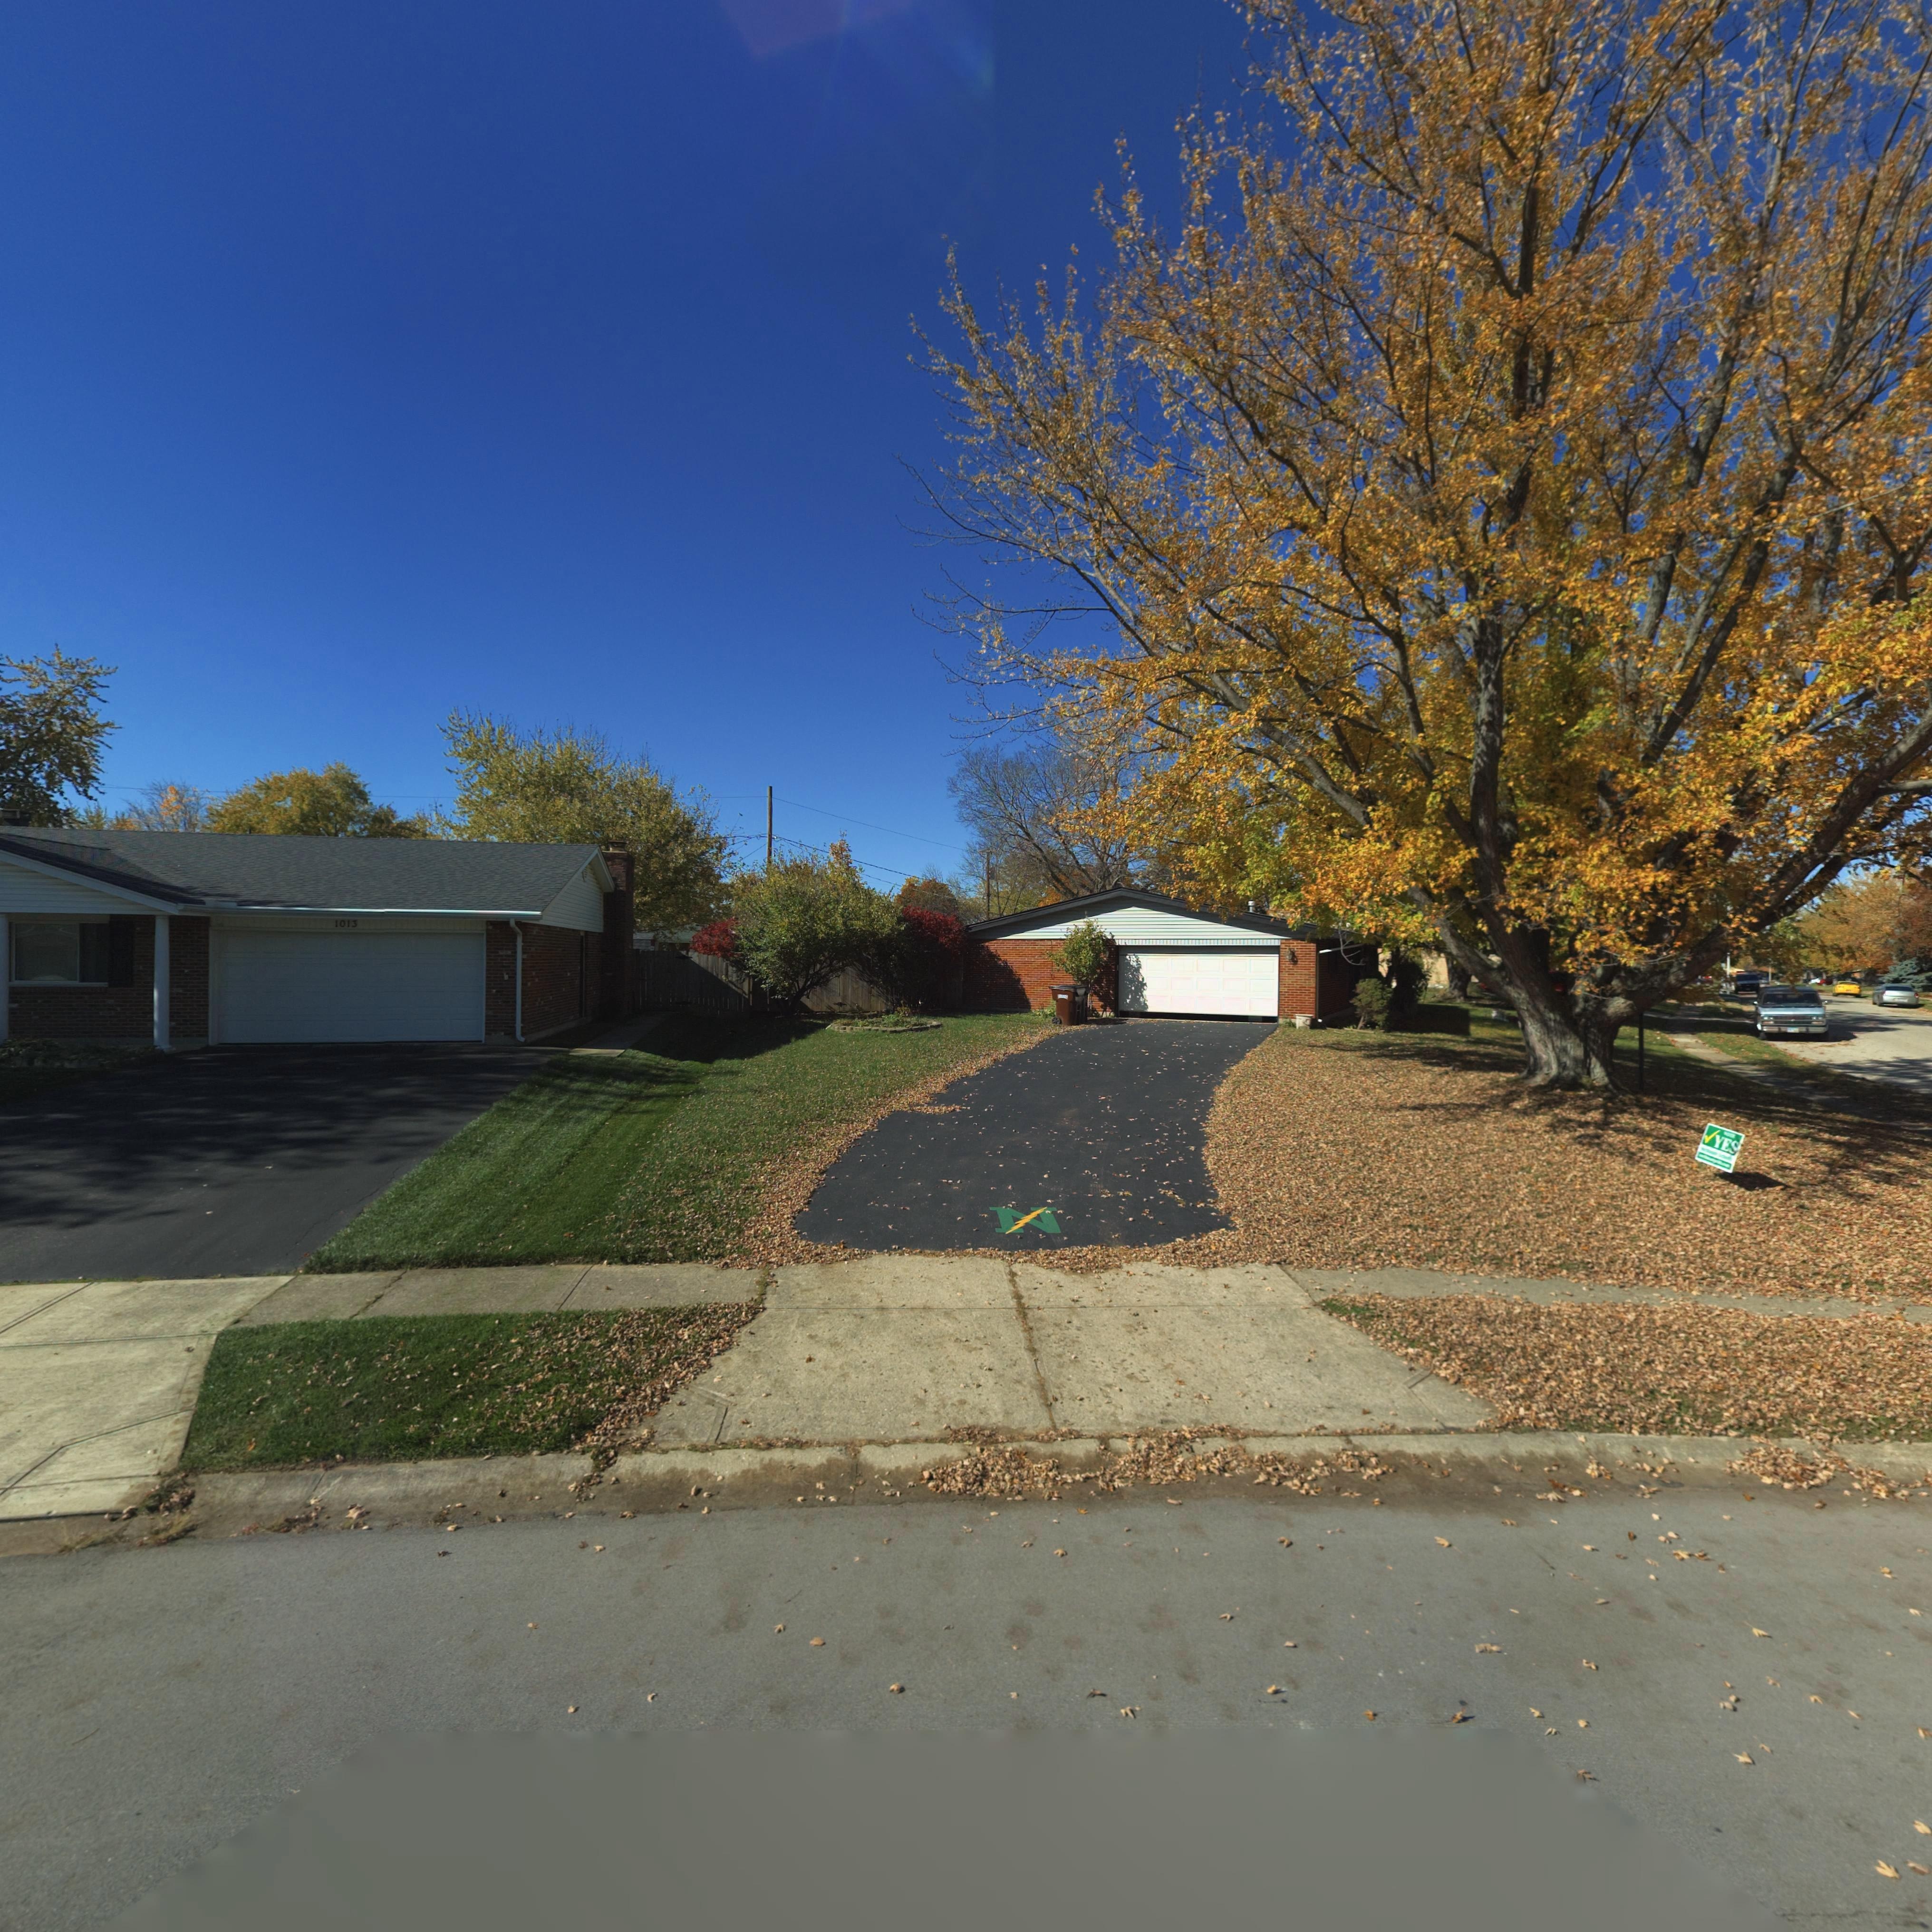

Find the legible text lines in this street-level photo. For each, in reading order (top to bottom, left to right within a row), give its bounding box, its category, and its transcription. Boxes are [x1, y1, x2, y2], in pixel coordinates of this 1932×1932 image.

[335, 919, 357, 928] StreetNumber: 1013
[1713, 1133, 1740, 1155] None: YES